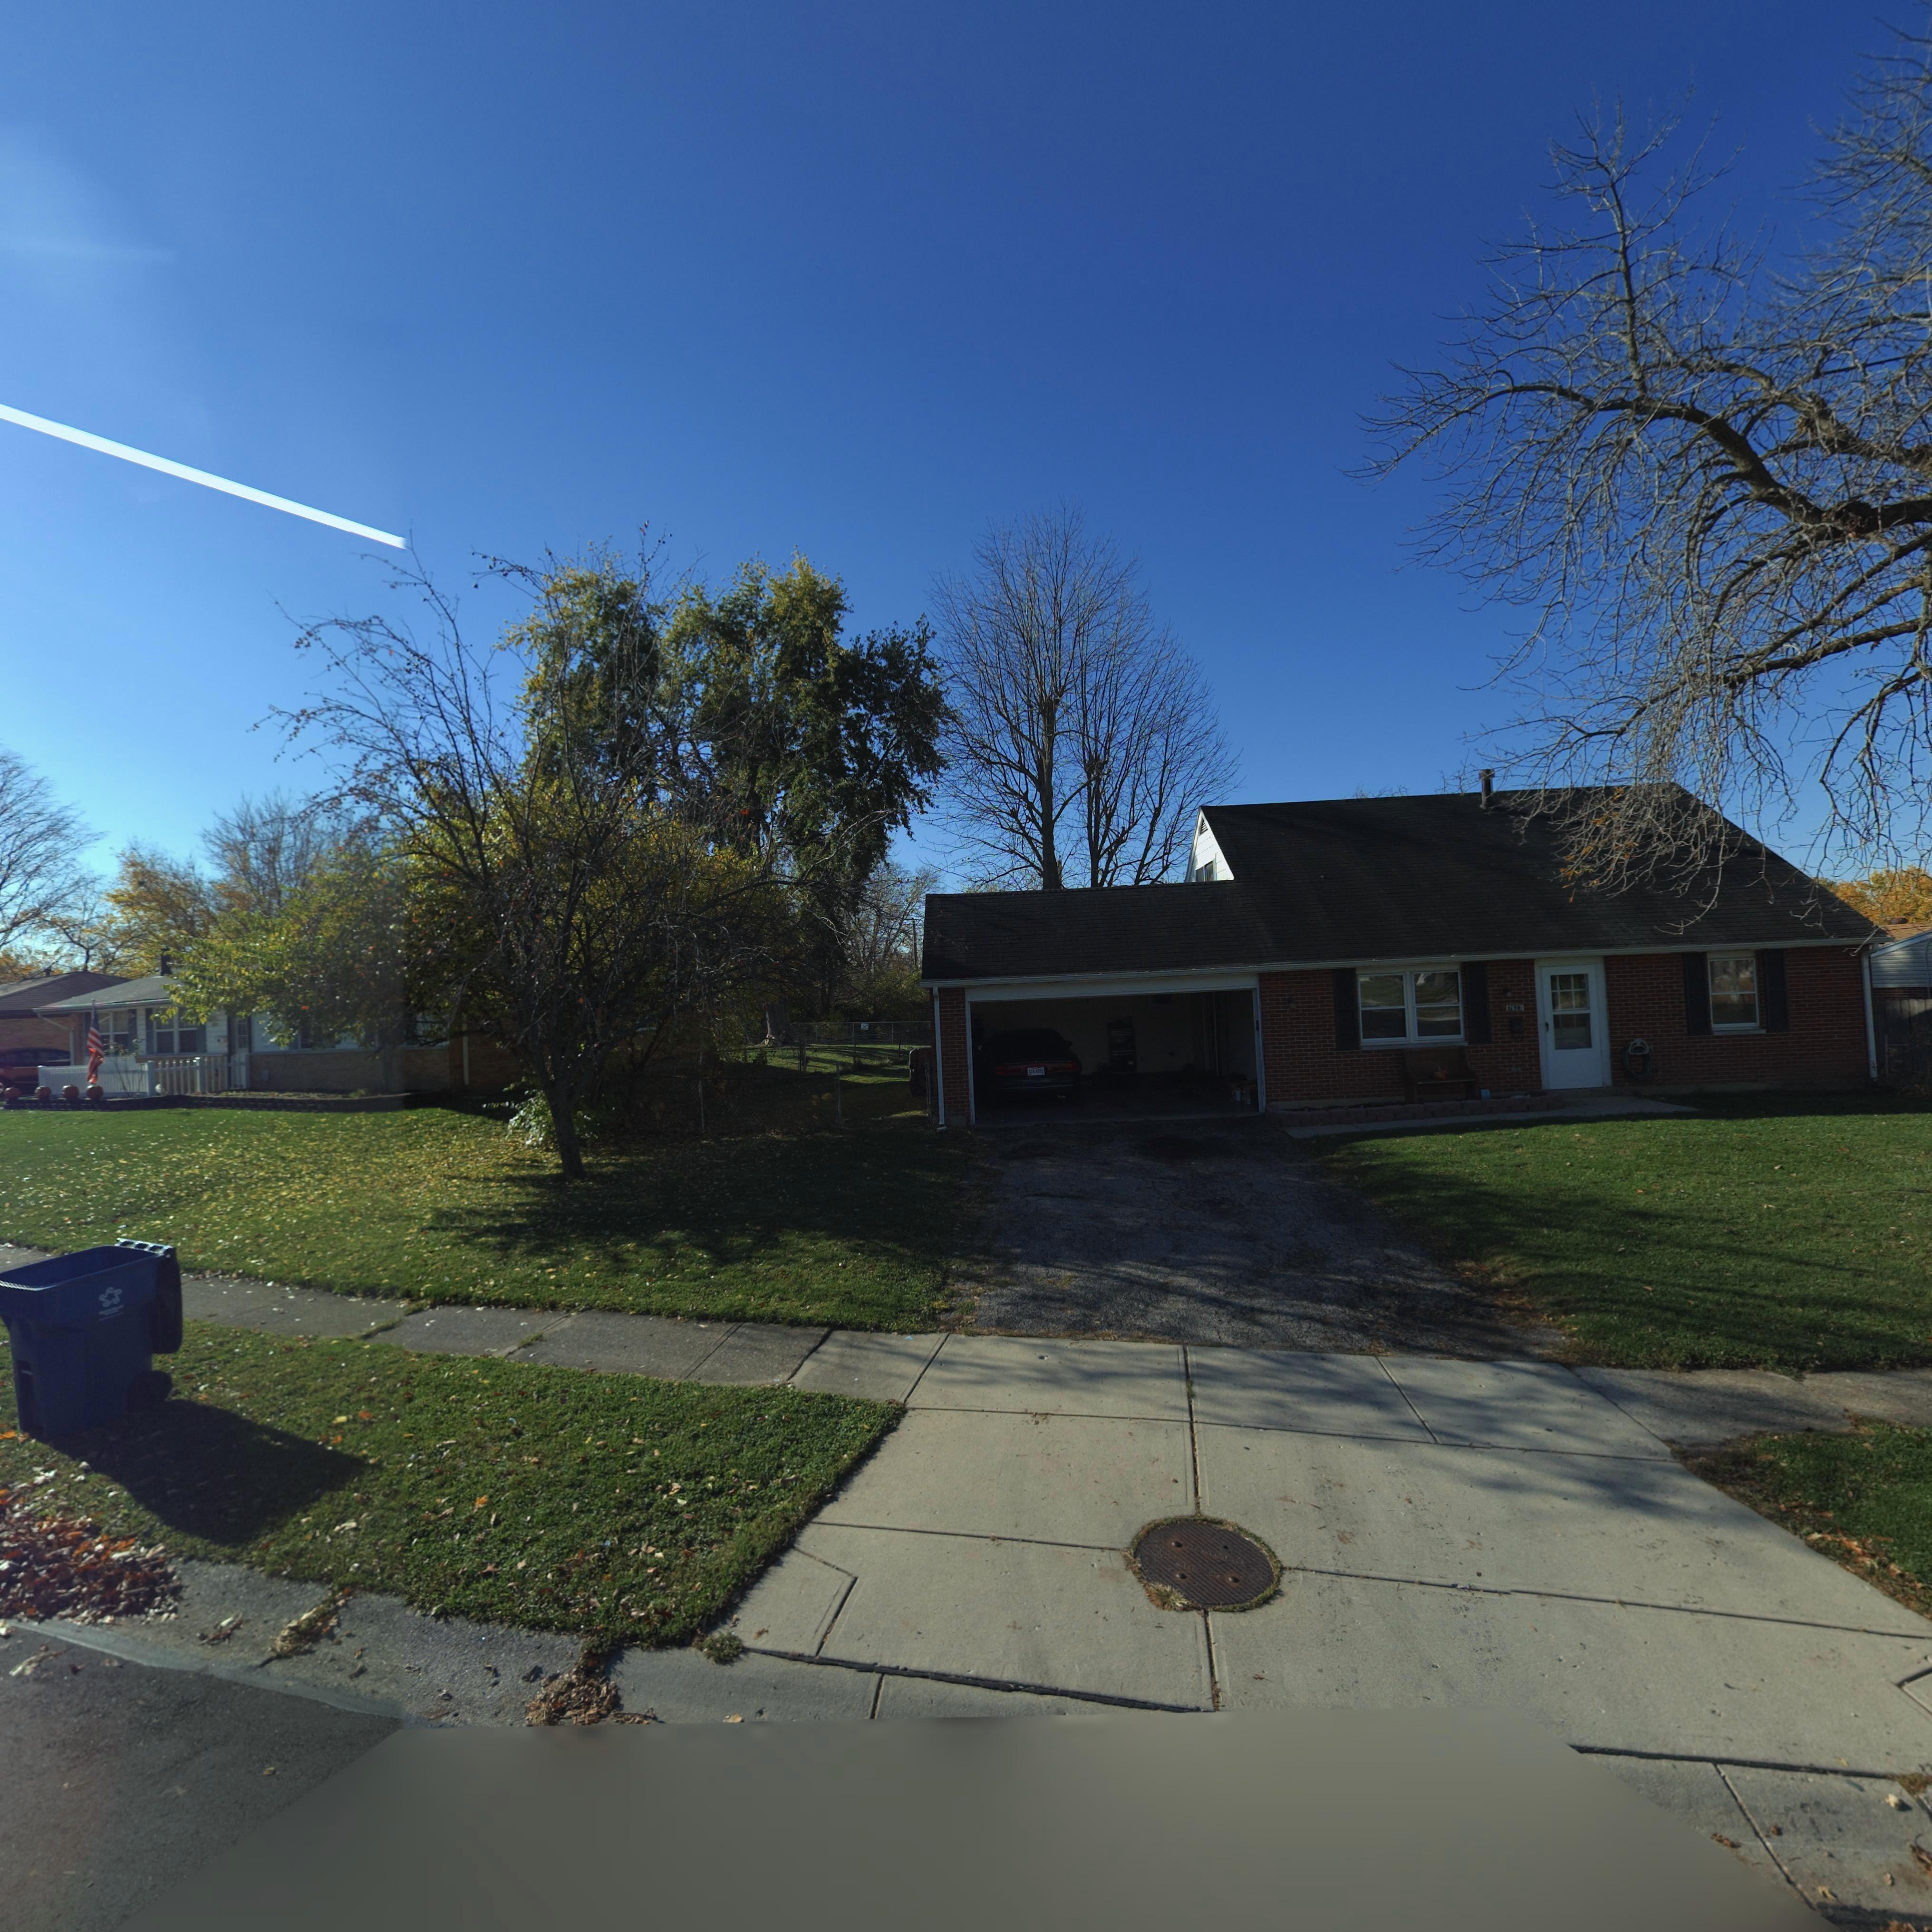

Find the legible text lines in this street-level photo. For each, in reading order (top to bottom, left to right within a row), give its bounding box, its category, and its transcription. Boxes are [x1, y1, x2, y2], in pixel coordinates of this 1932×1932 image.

[1506, 1004, 1523, 1012] StreetNumber: 7637